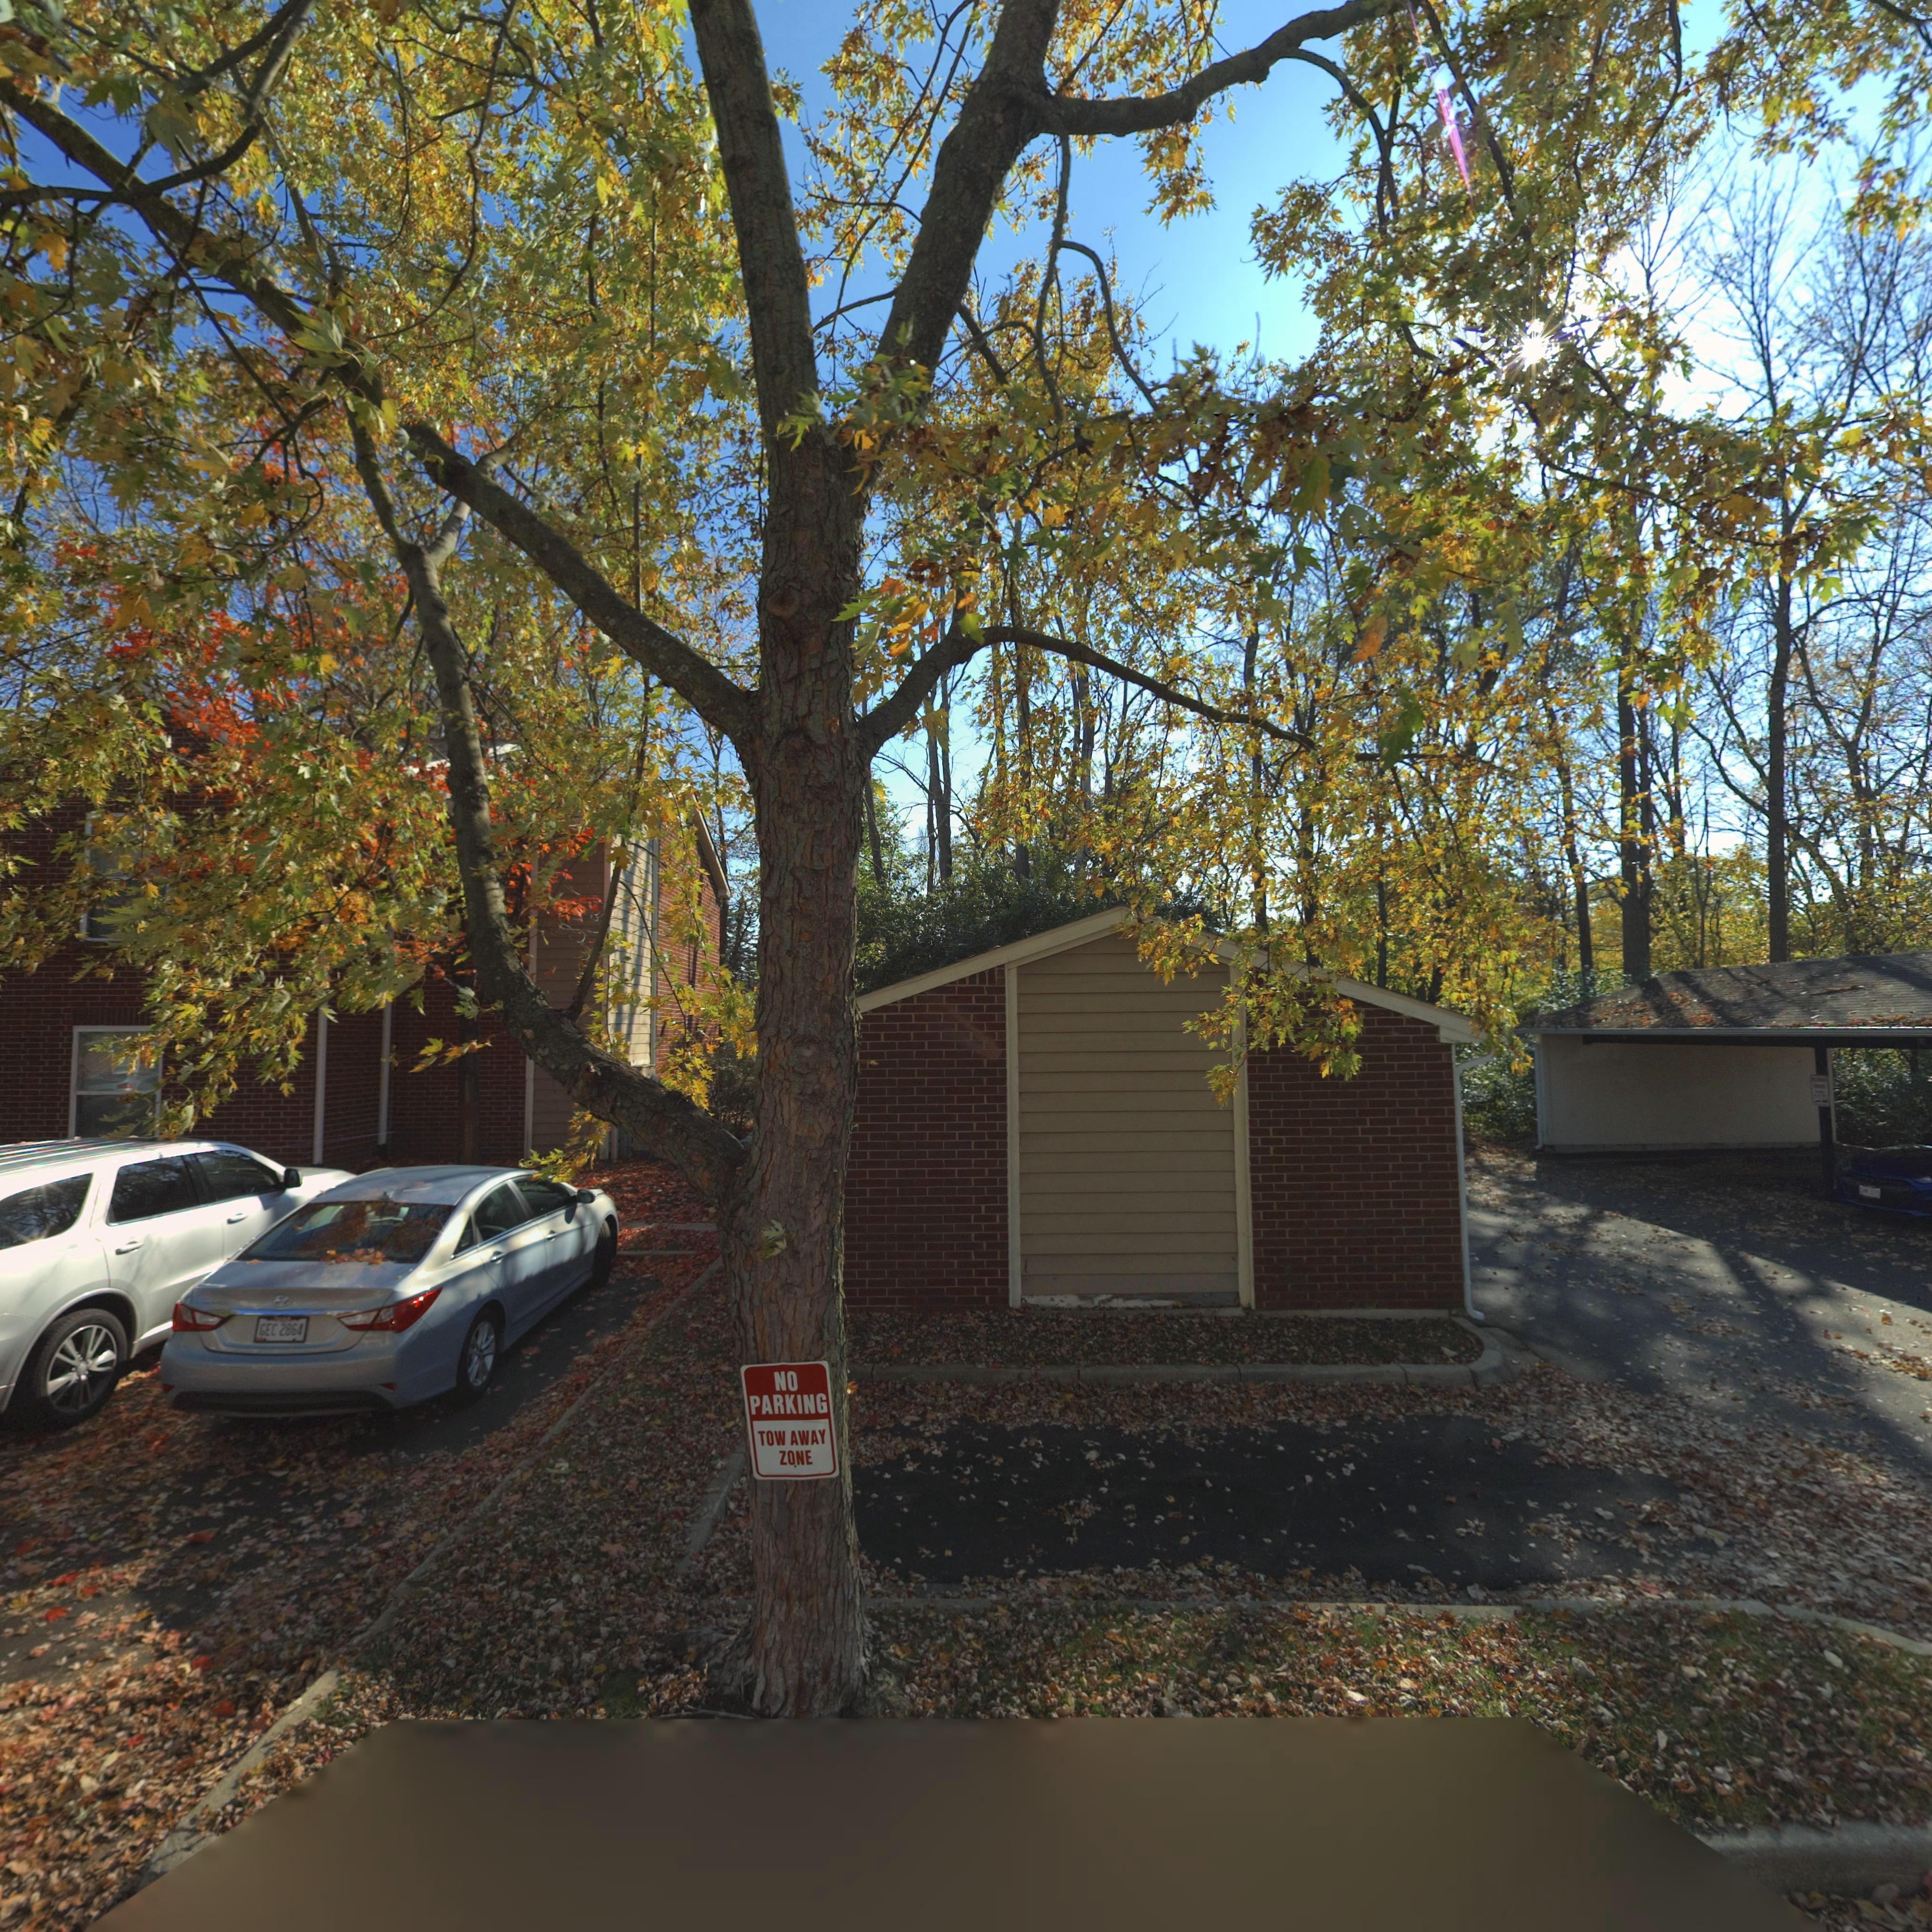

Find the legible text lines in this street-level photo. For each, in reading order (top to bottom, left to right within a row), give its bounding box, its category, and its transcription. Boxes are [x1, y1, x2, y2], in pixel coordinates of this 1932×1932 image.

[258, 1322, 305, 1337] None: GEC 2864
[773, 1370, 800, 1393] None: NO
[748, 1391, 829, 1417] None: PARKING
[755, 1427, 828, 1447] None: TOW AWAY
[777, 1449, 814, 1466] None: ZONE